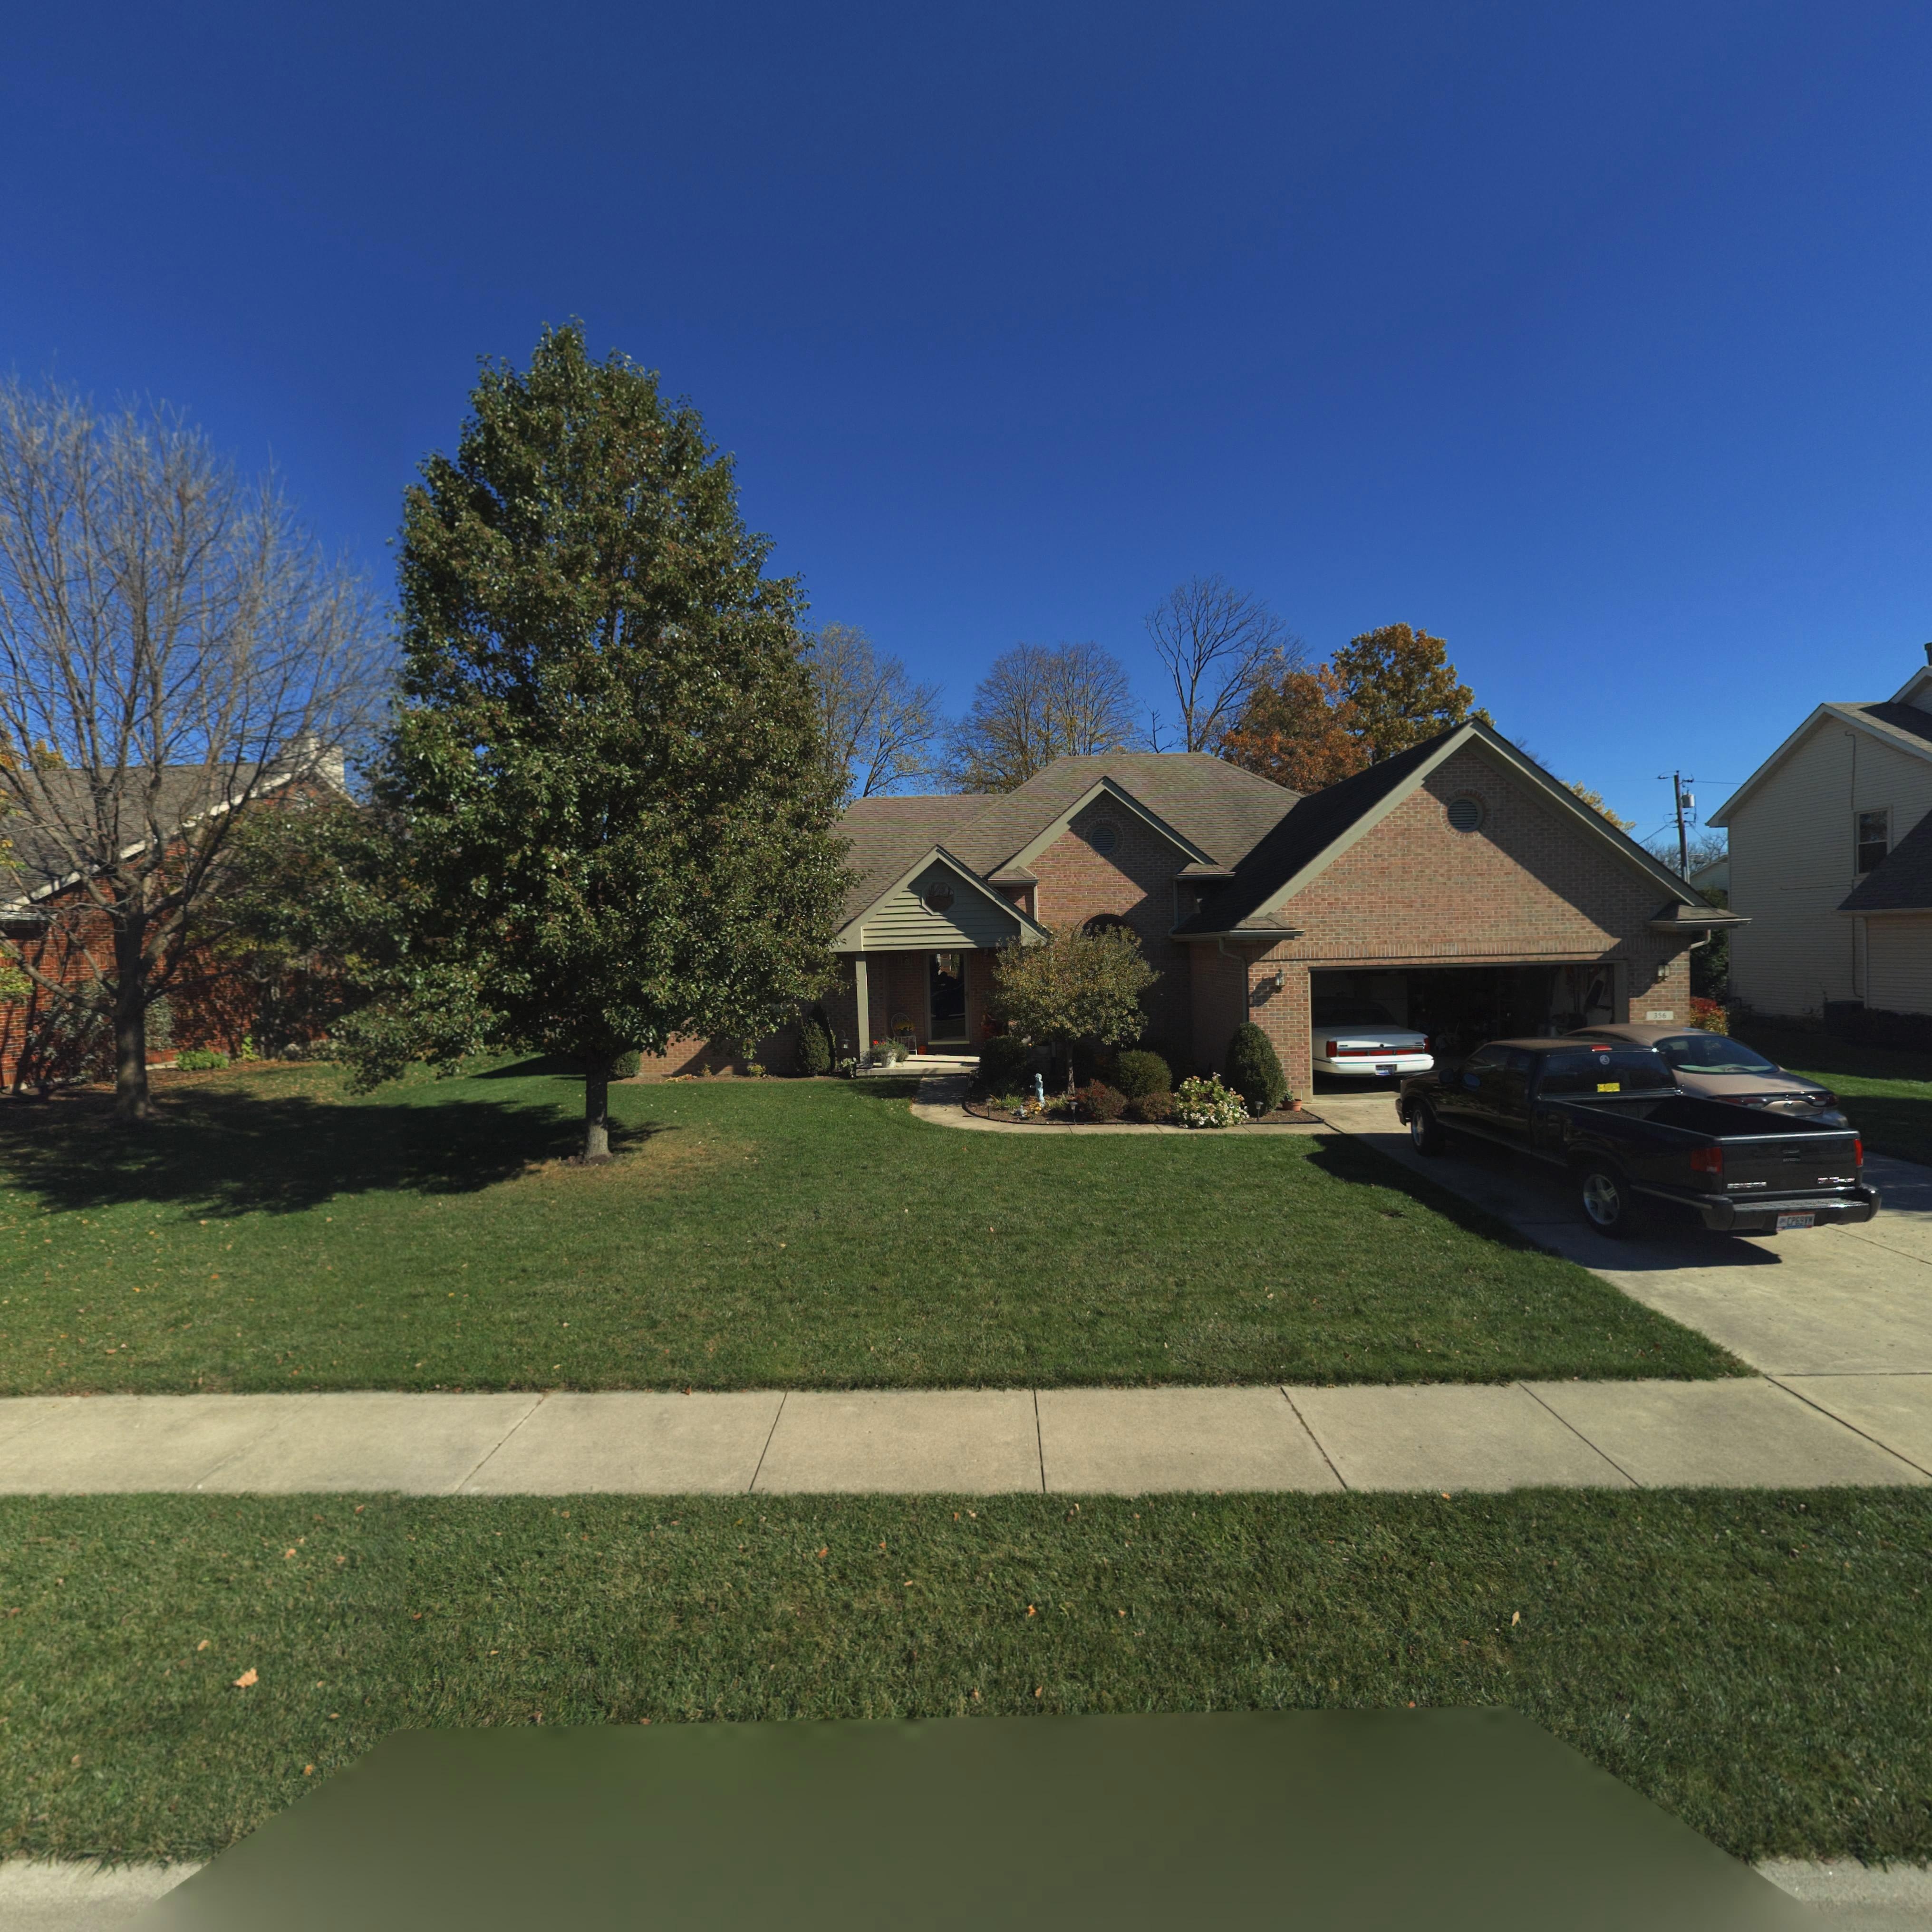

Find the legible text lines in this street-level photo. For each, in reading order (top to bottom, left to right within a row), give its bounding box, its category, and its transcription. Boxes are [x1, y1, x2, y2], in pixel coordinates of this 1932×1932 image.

[1652, 1012, 1668, 1020] StreetNumber: 356